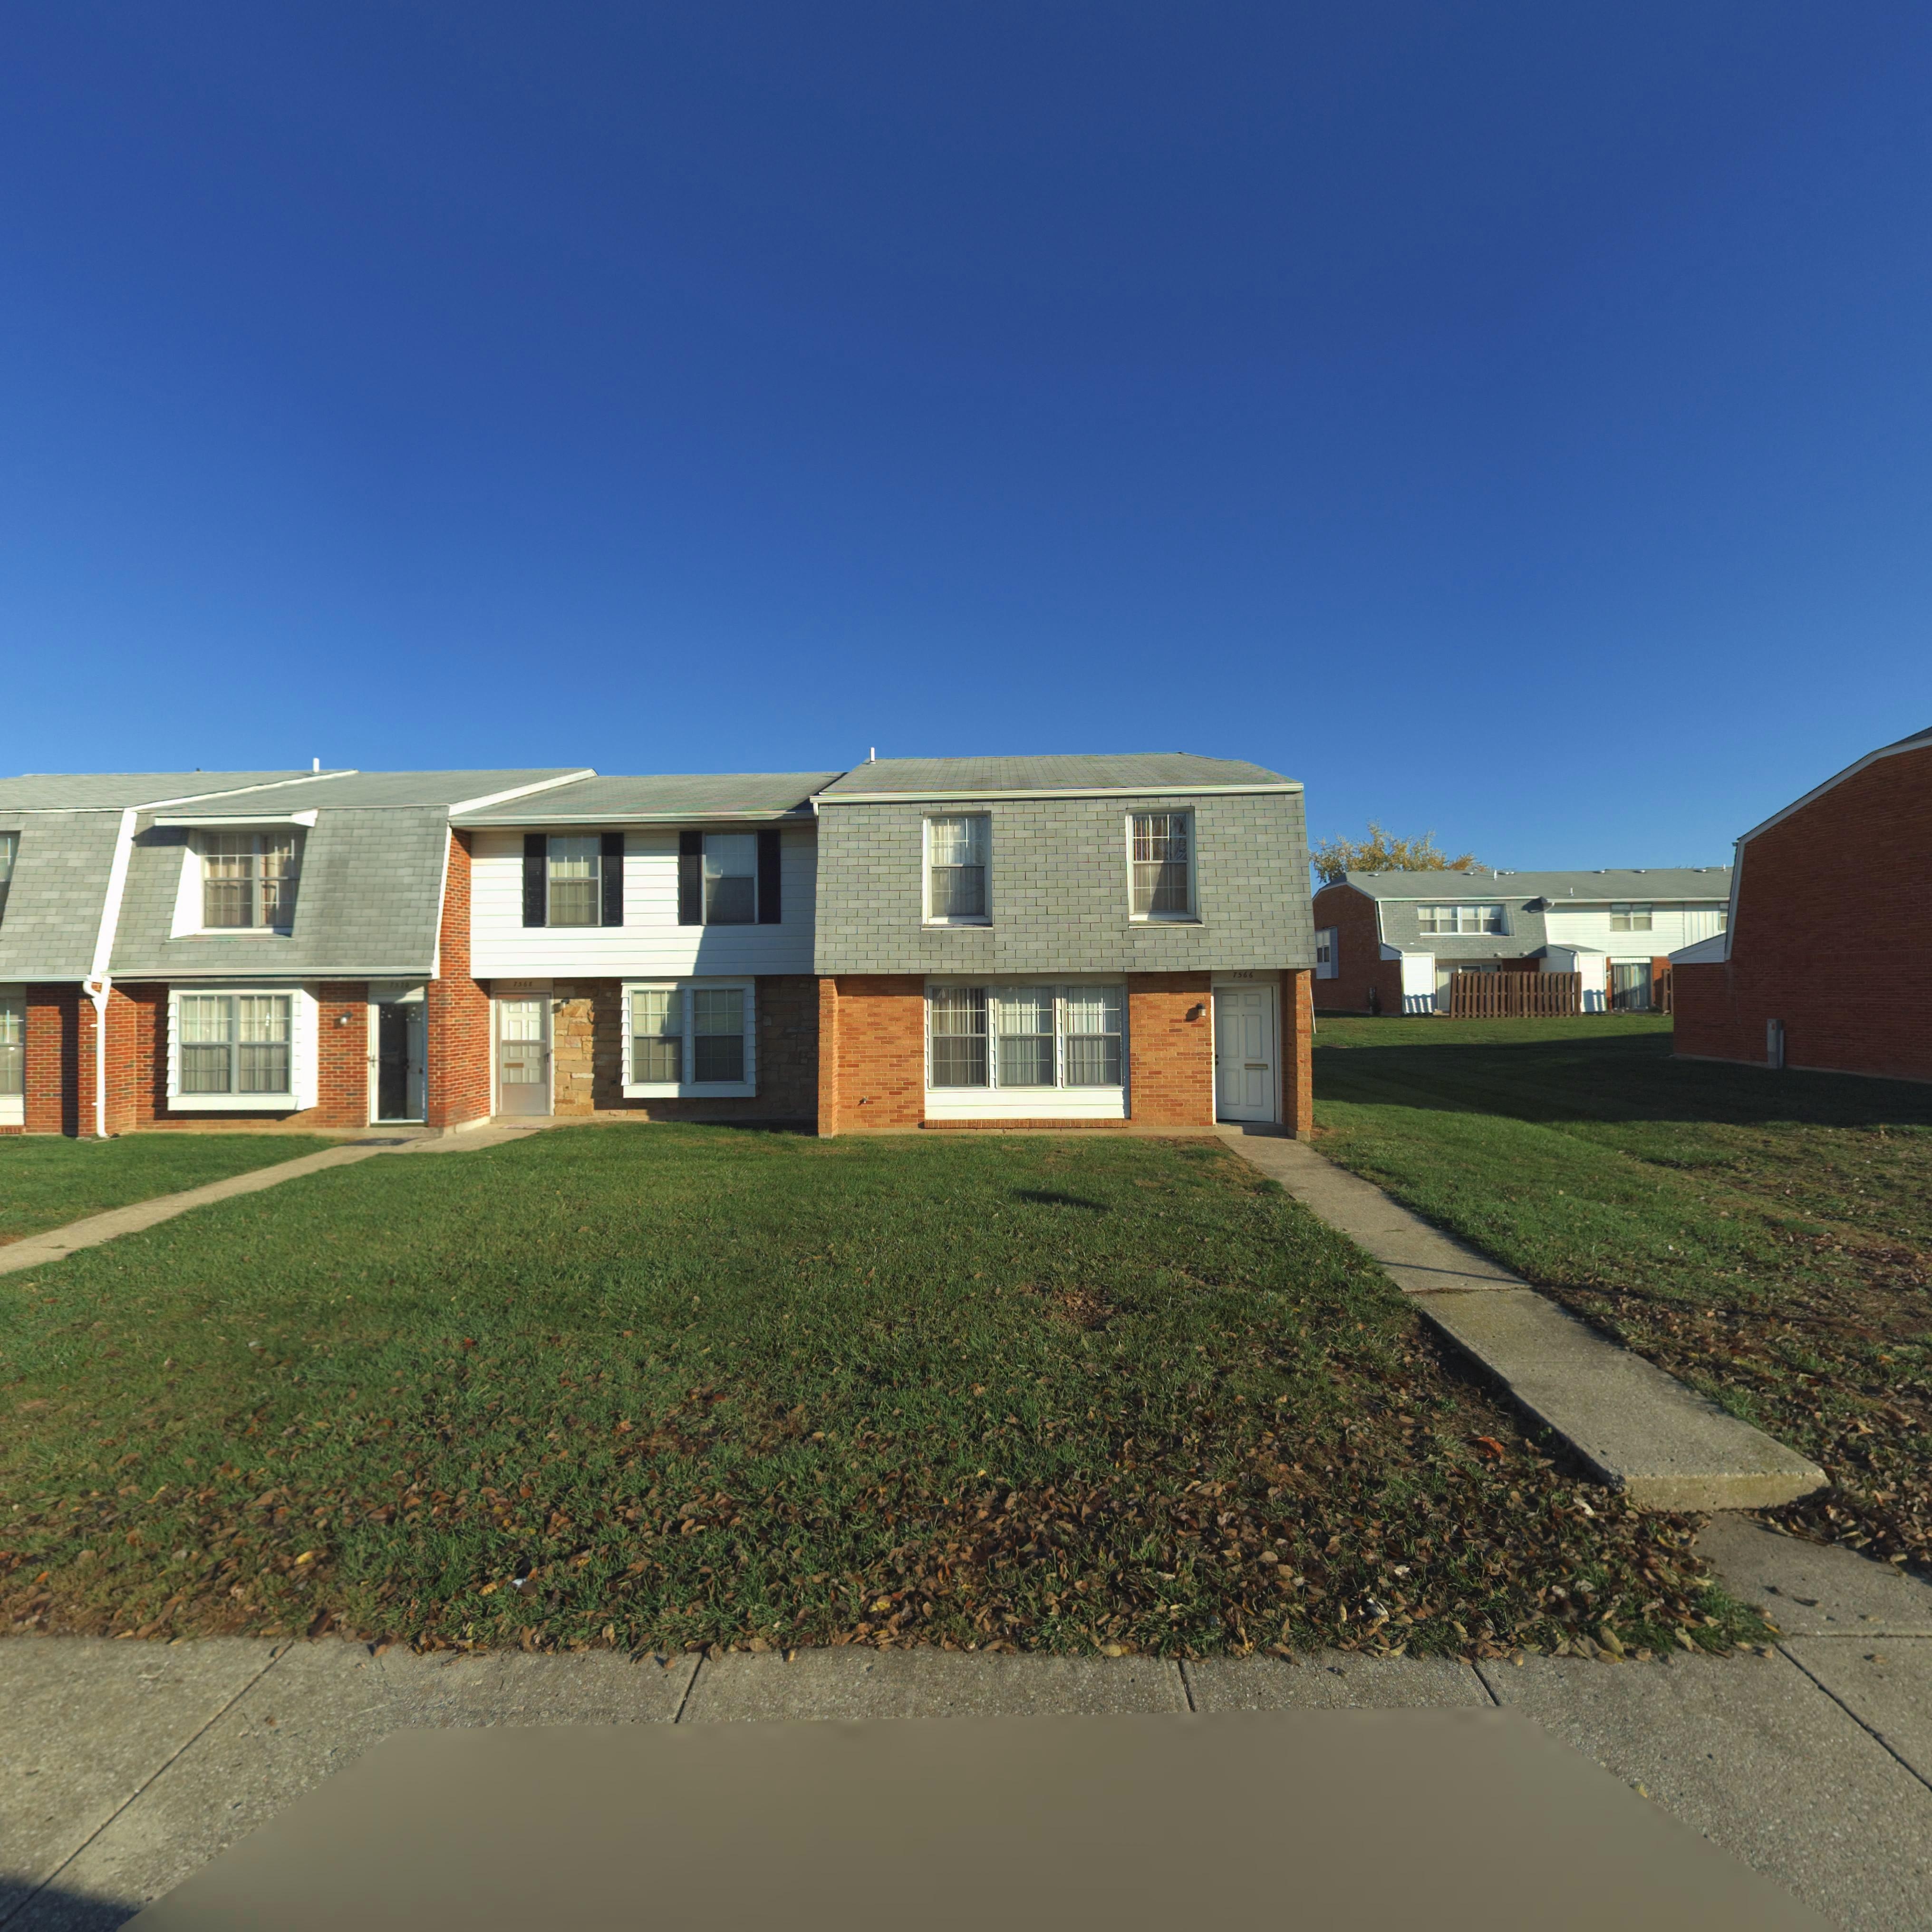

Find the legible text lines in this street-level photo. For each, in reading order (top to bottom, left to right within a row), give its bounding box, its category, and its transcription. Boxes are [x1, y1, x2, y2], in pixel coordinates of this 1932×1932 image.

[1232, 970, 1255, 979] StreetNumber: 7566
[388, 981, 410, 989] StreetNumber: **70
[512, 980, 534, 988] StreetNumber: 756*